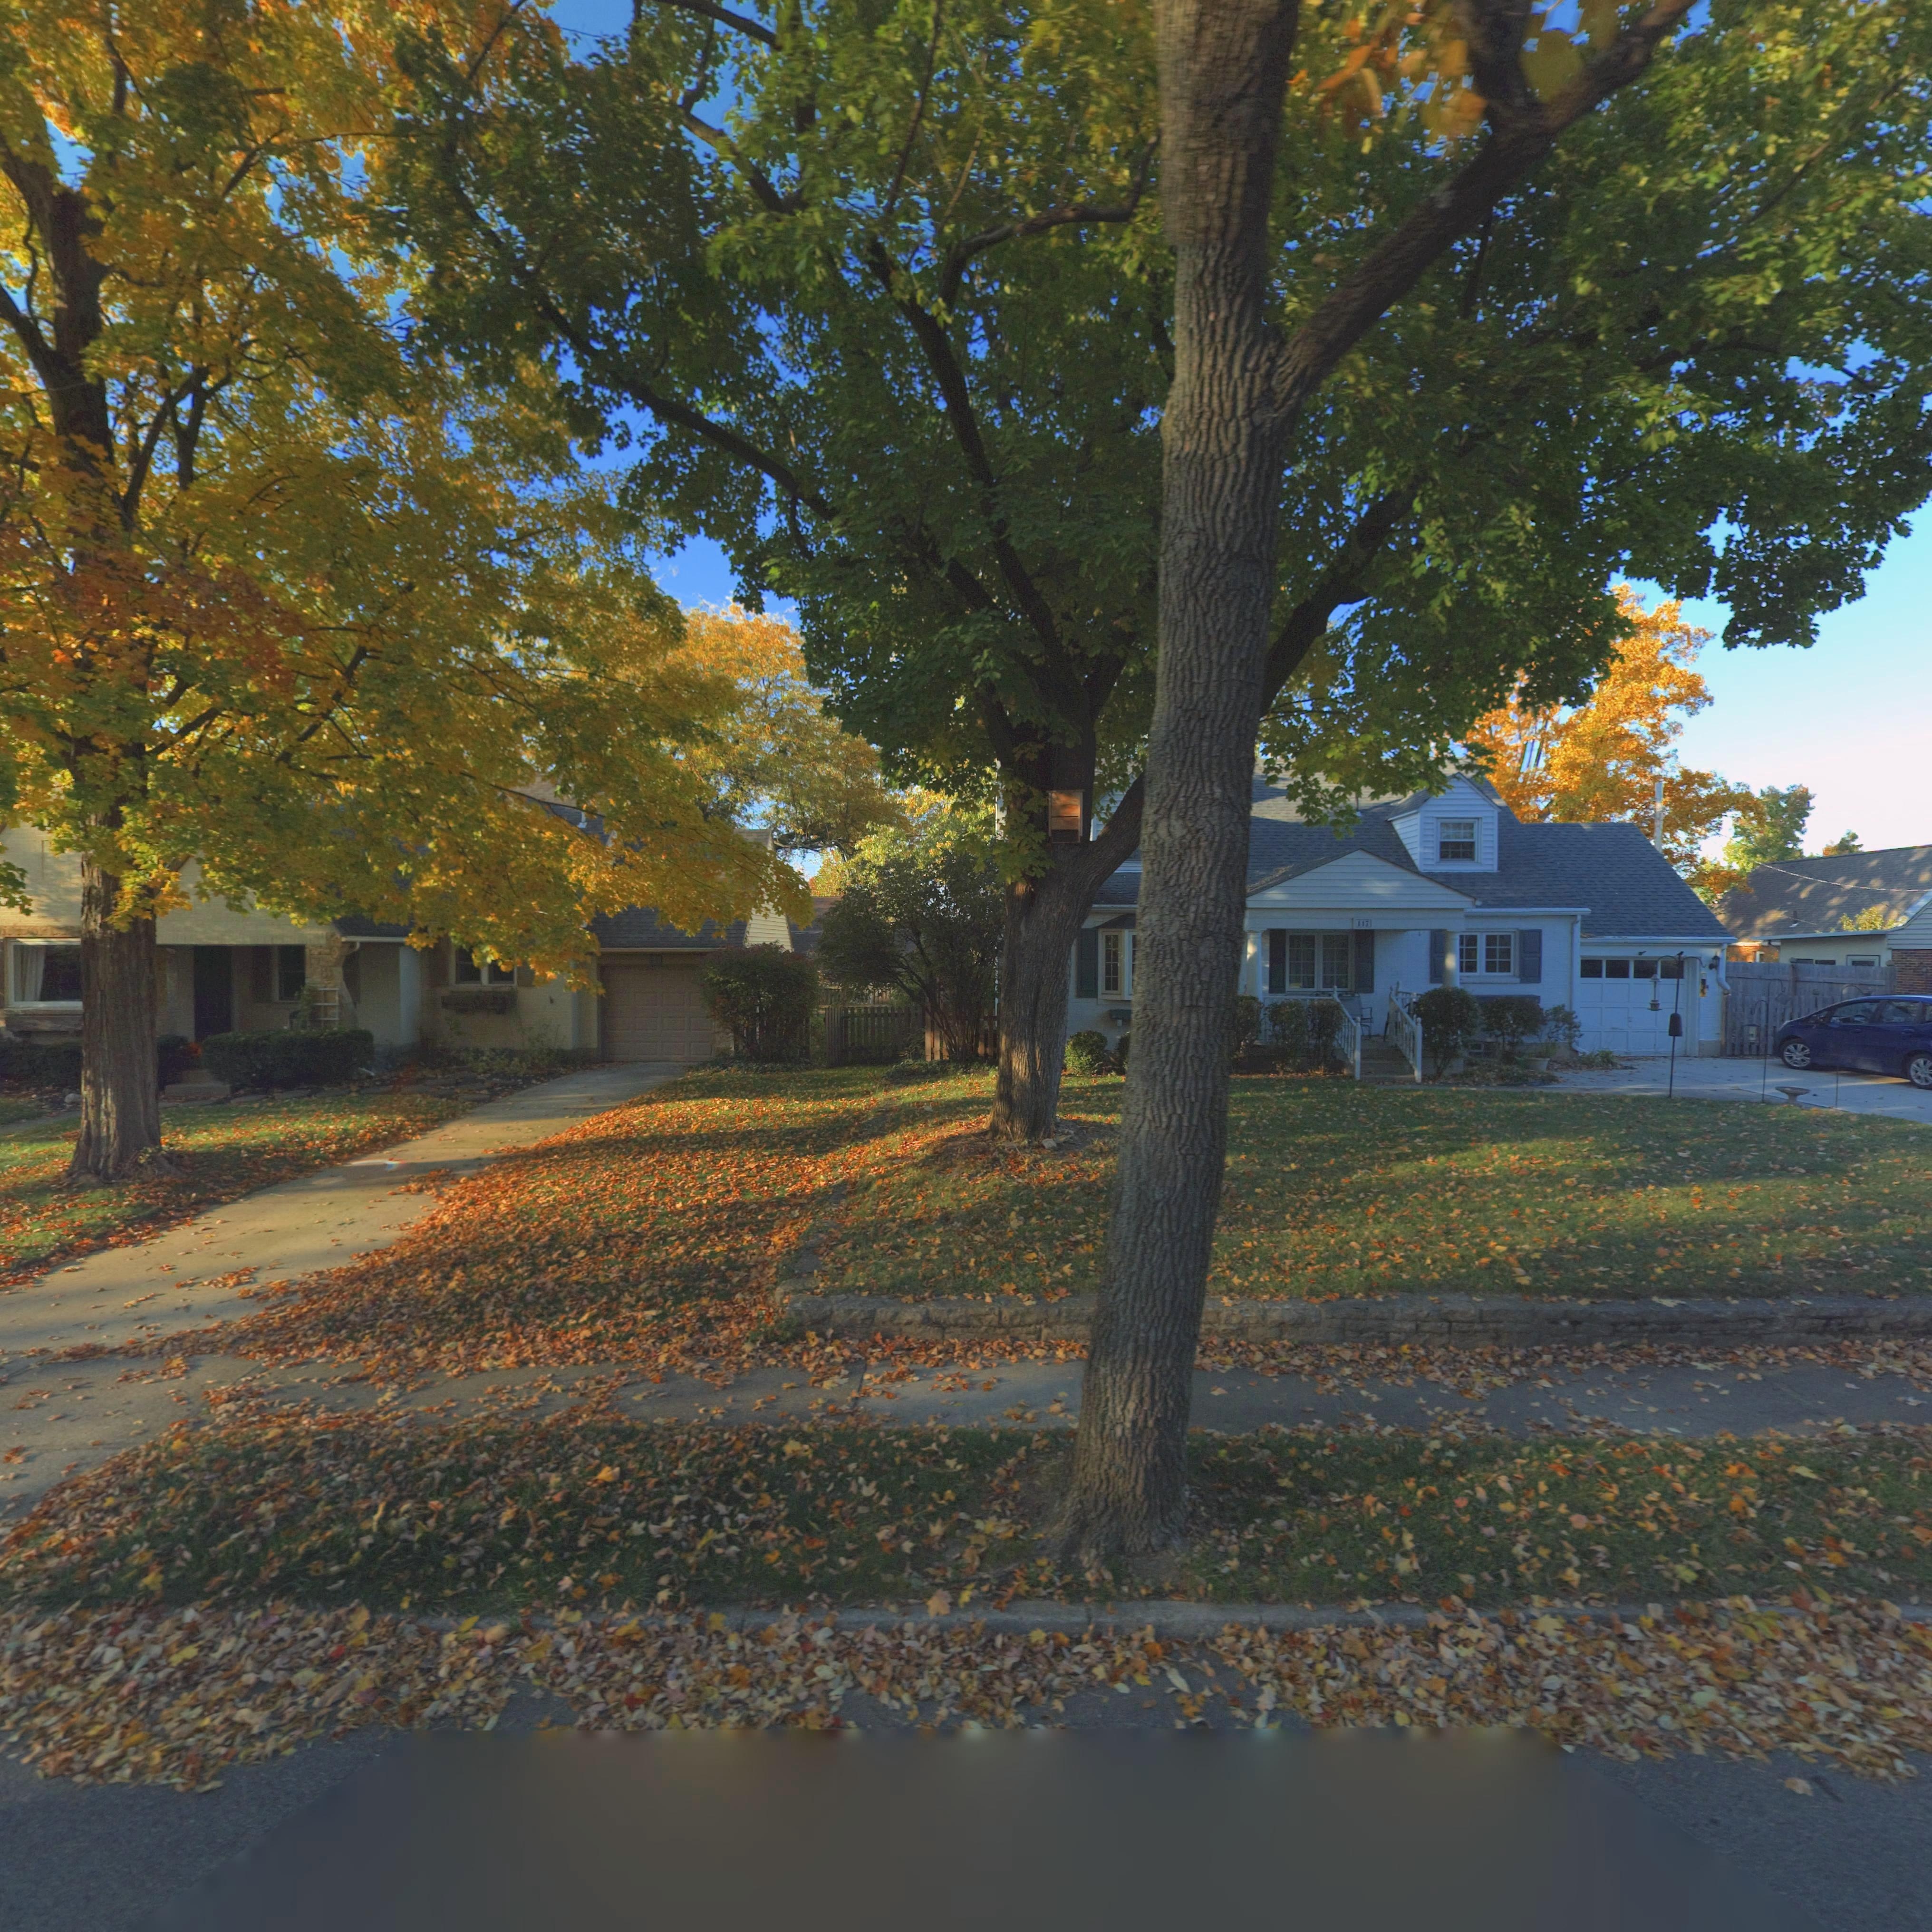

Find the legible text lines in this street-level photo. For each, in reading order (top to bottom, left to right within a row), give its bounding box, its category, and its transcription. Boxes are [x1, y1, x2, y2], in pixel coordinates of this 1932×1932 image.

[1357, 920, 1370, 927] StreetNumber: 117